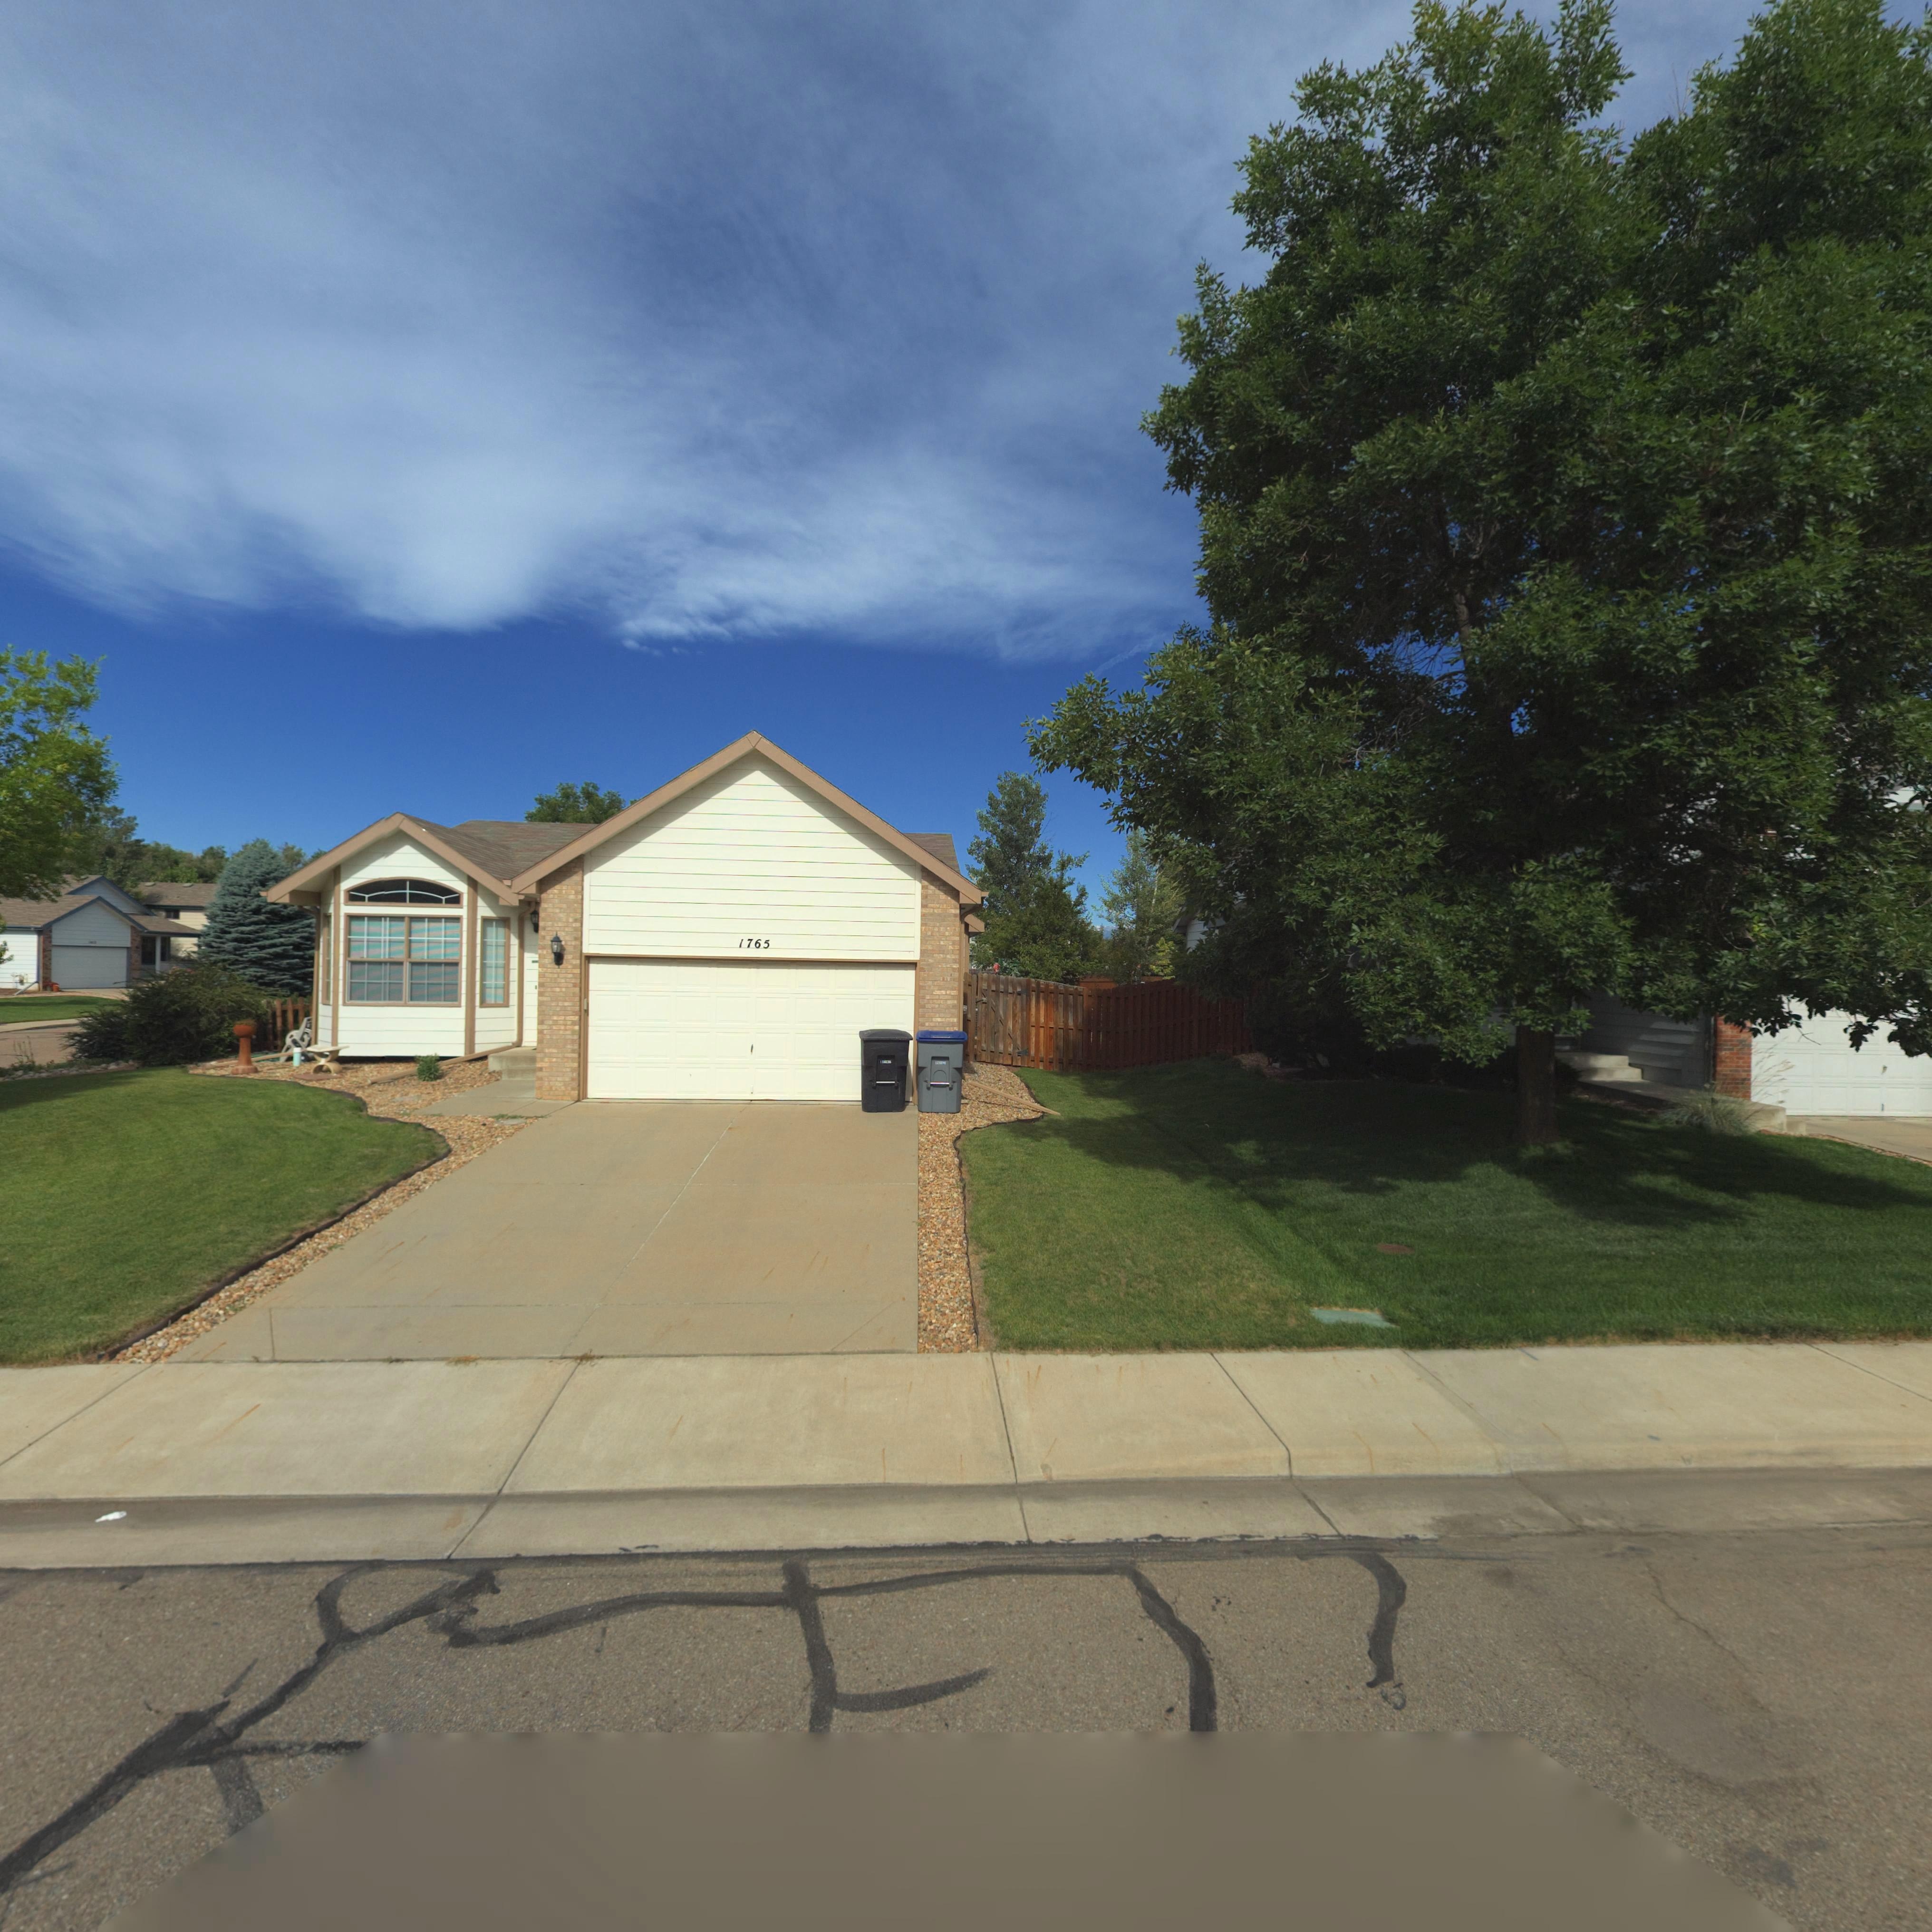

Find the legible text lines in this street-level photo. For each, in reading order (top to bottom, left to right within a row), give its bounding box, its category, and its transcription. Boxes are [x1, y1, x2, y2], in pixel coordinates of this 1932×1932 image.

[737, 937, 770, 949] StreetNumber: 1765